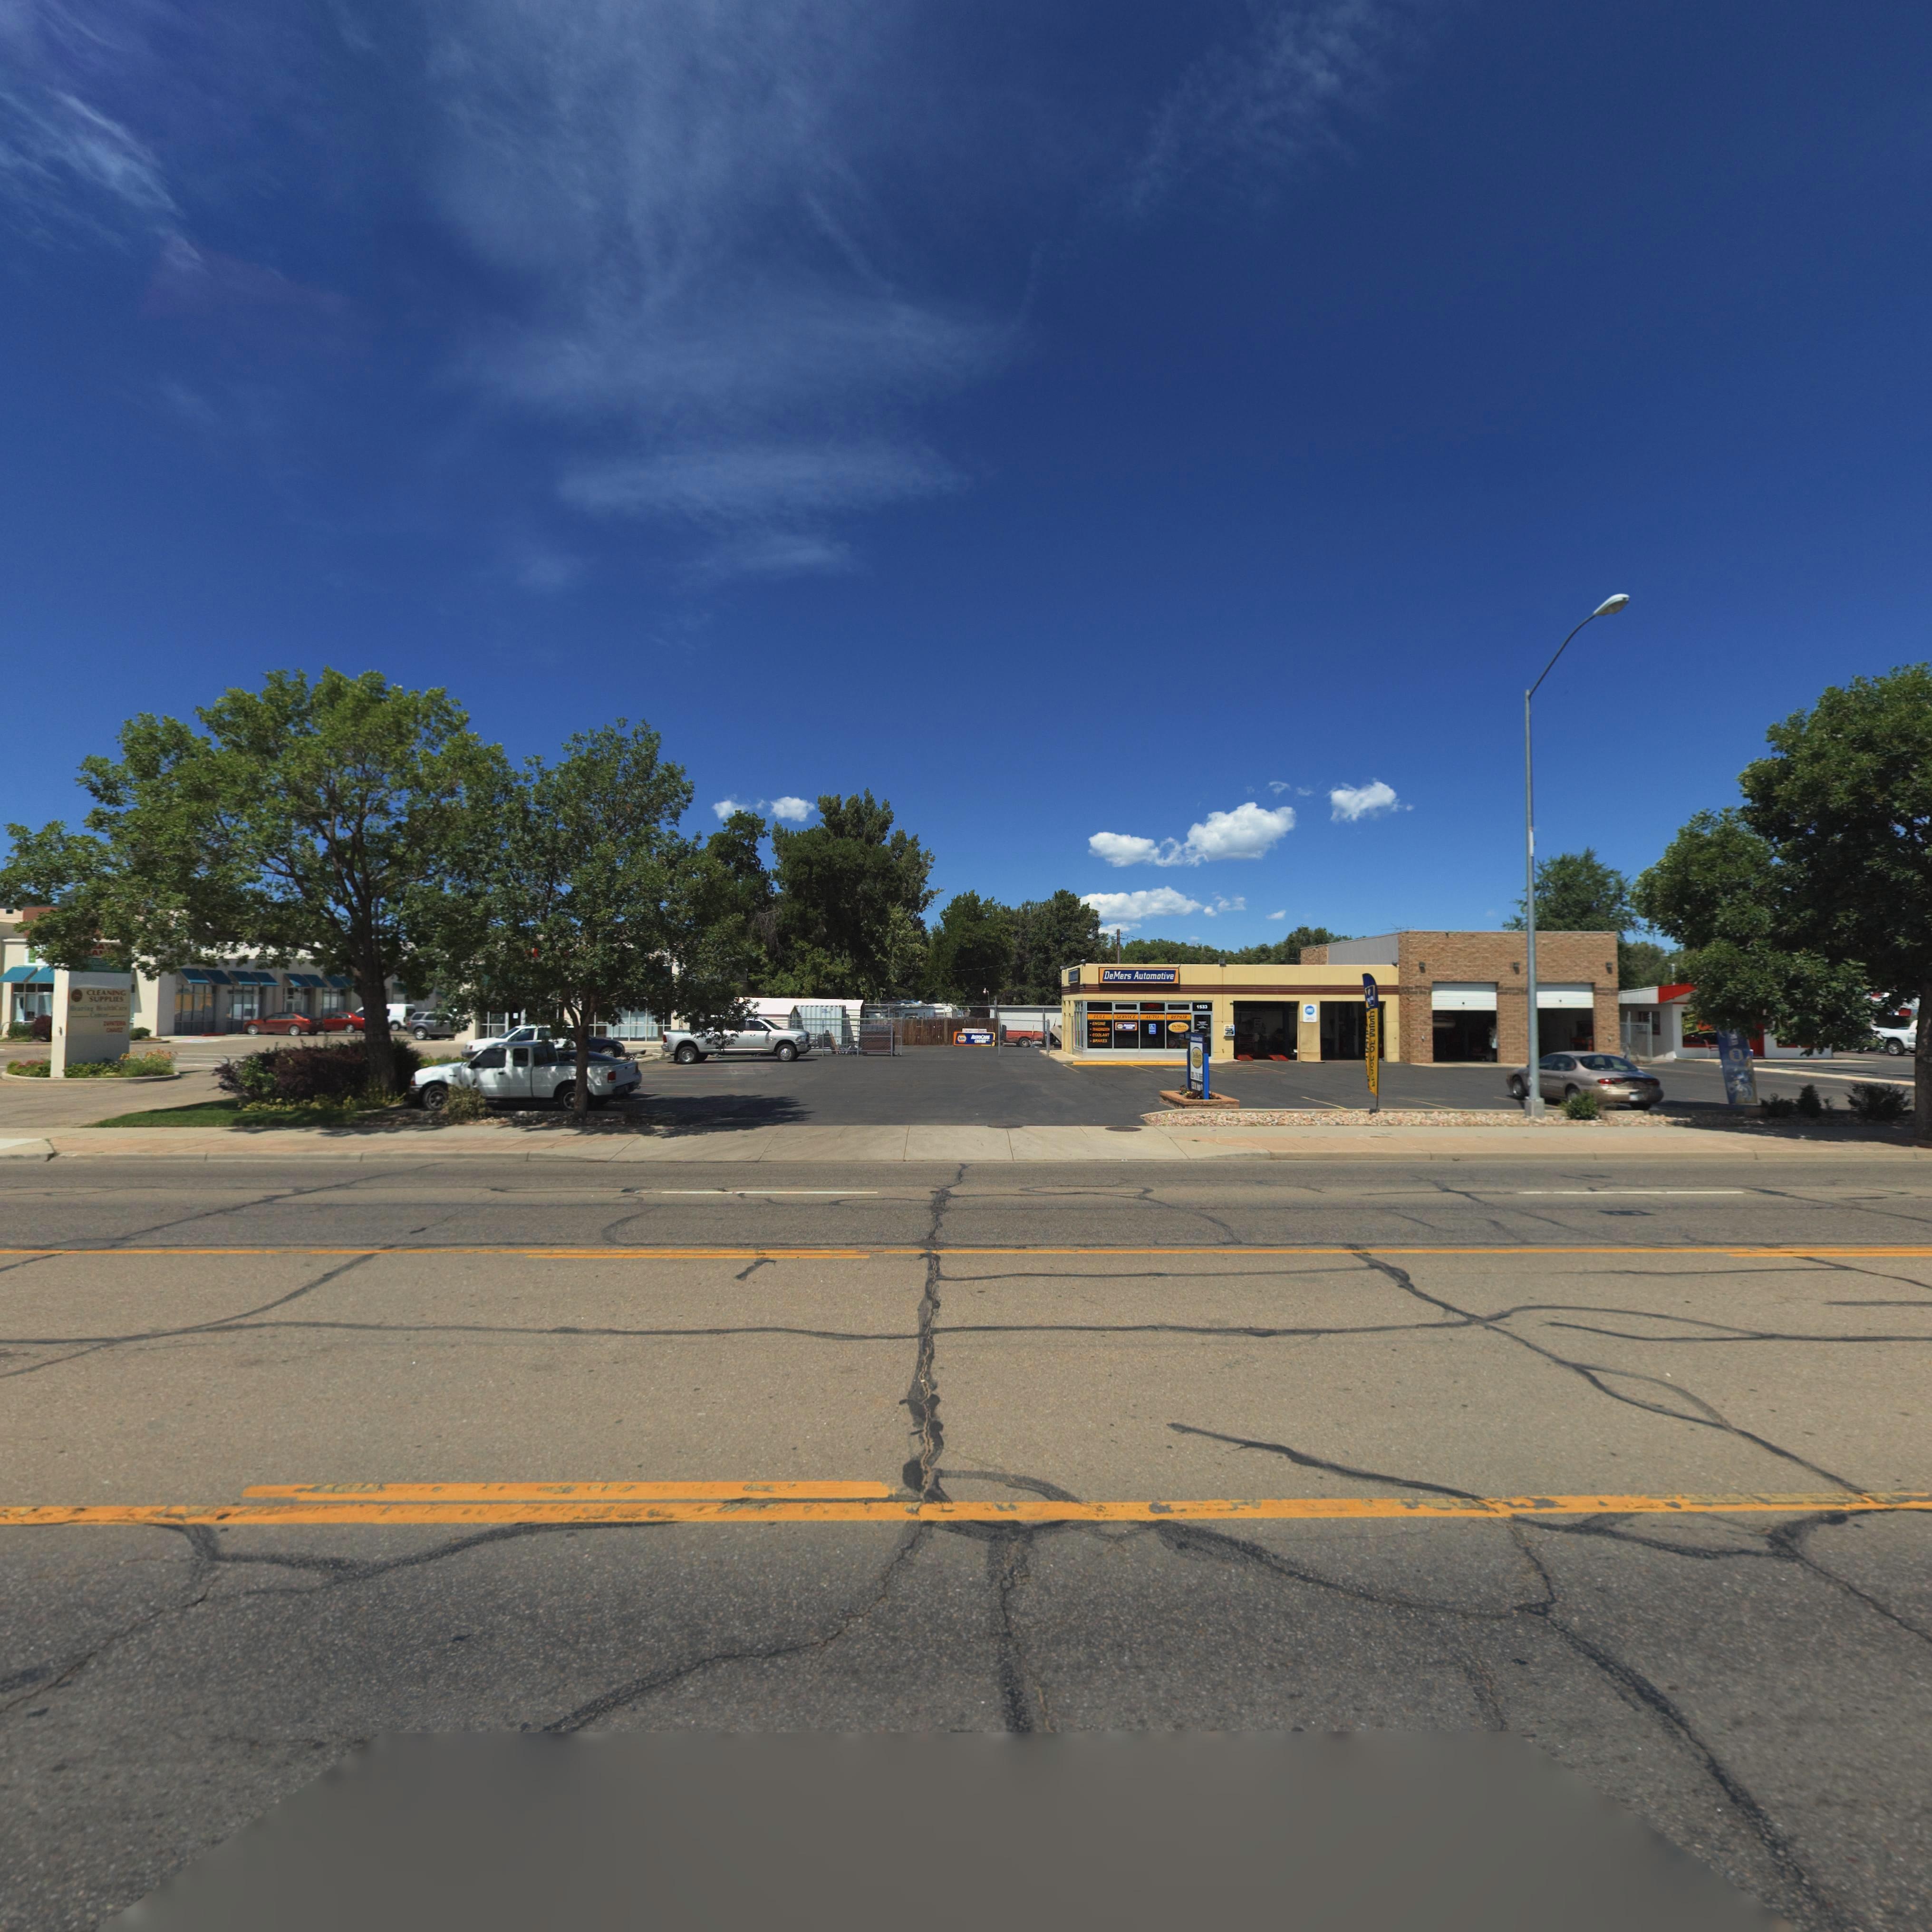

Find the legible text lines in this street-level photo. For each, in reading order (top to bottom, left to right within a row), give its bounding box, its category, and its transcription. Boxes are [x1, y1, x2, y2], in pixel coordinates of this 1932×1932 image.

[97, 943, 105, 949] BusinessName: A
[91, 949, 99, 956] BusinessName: A
[1103, 971, 1175, 980] BusinessName: DeMers Automotive
[1196, 1004, 1207, 1009] StreetNumber: 15*3
[1171, 1024, 1186, 1028] BusinessName: D*****